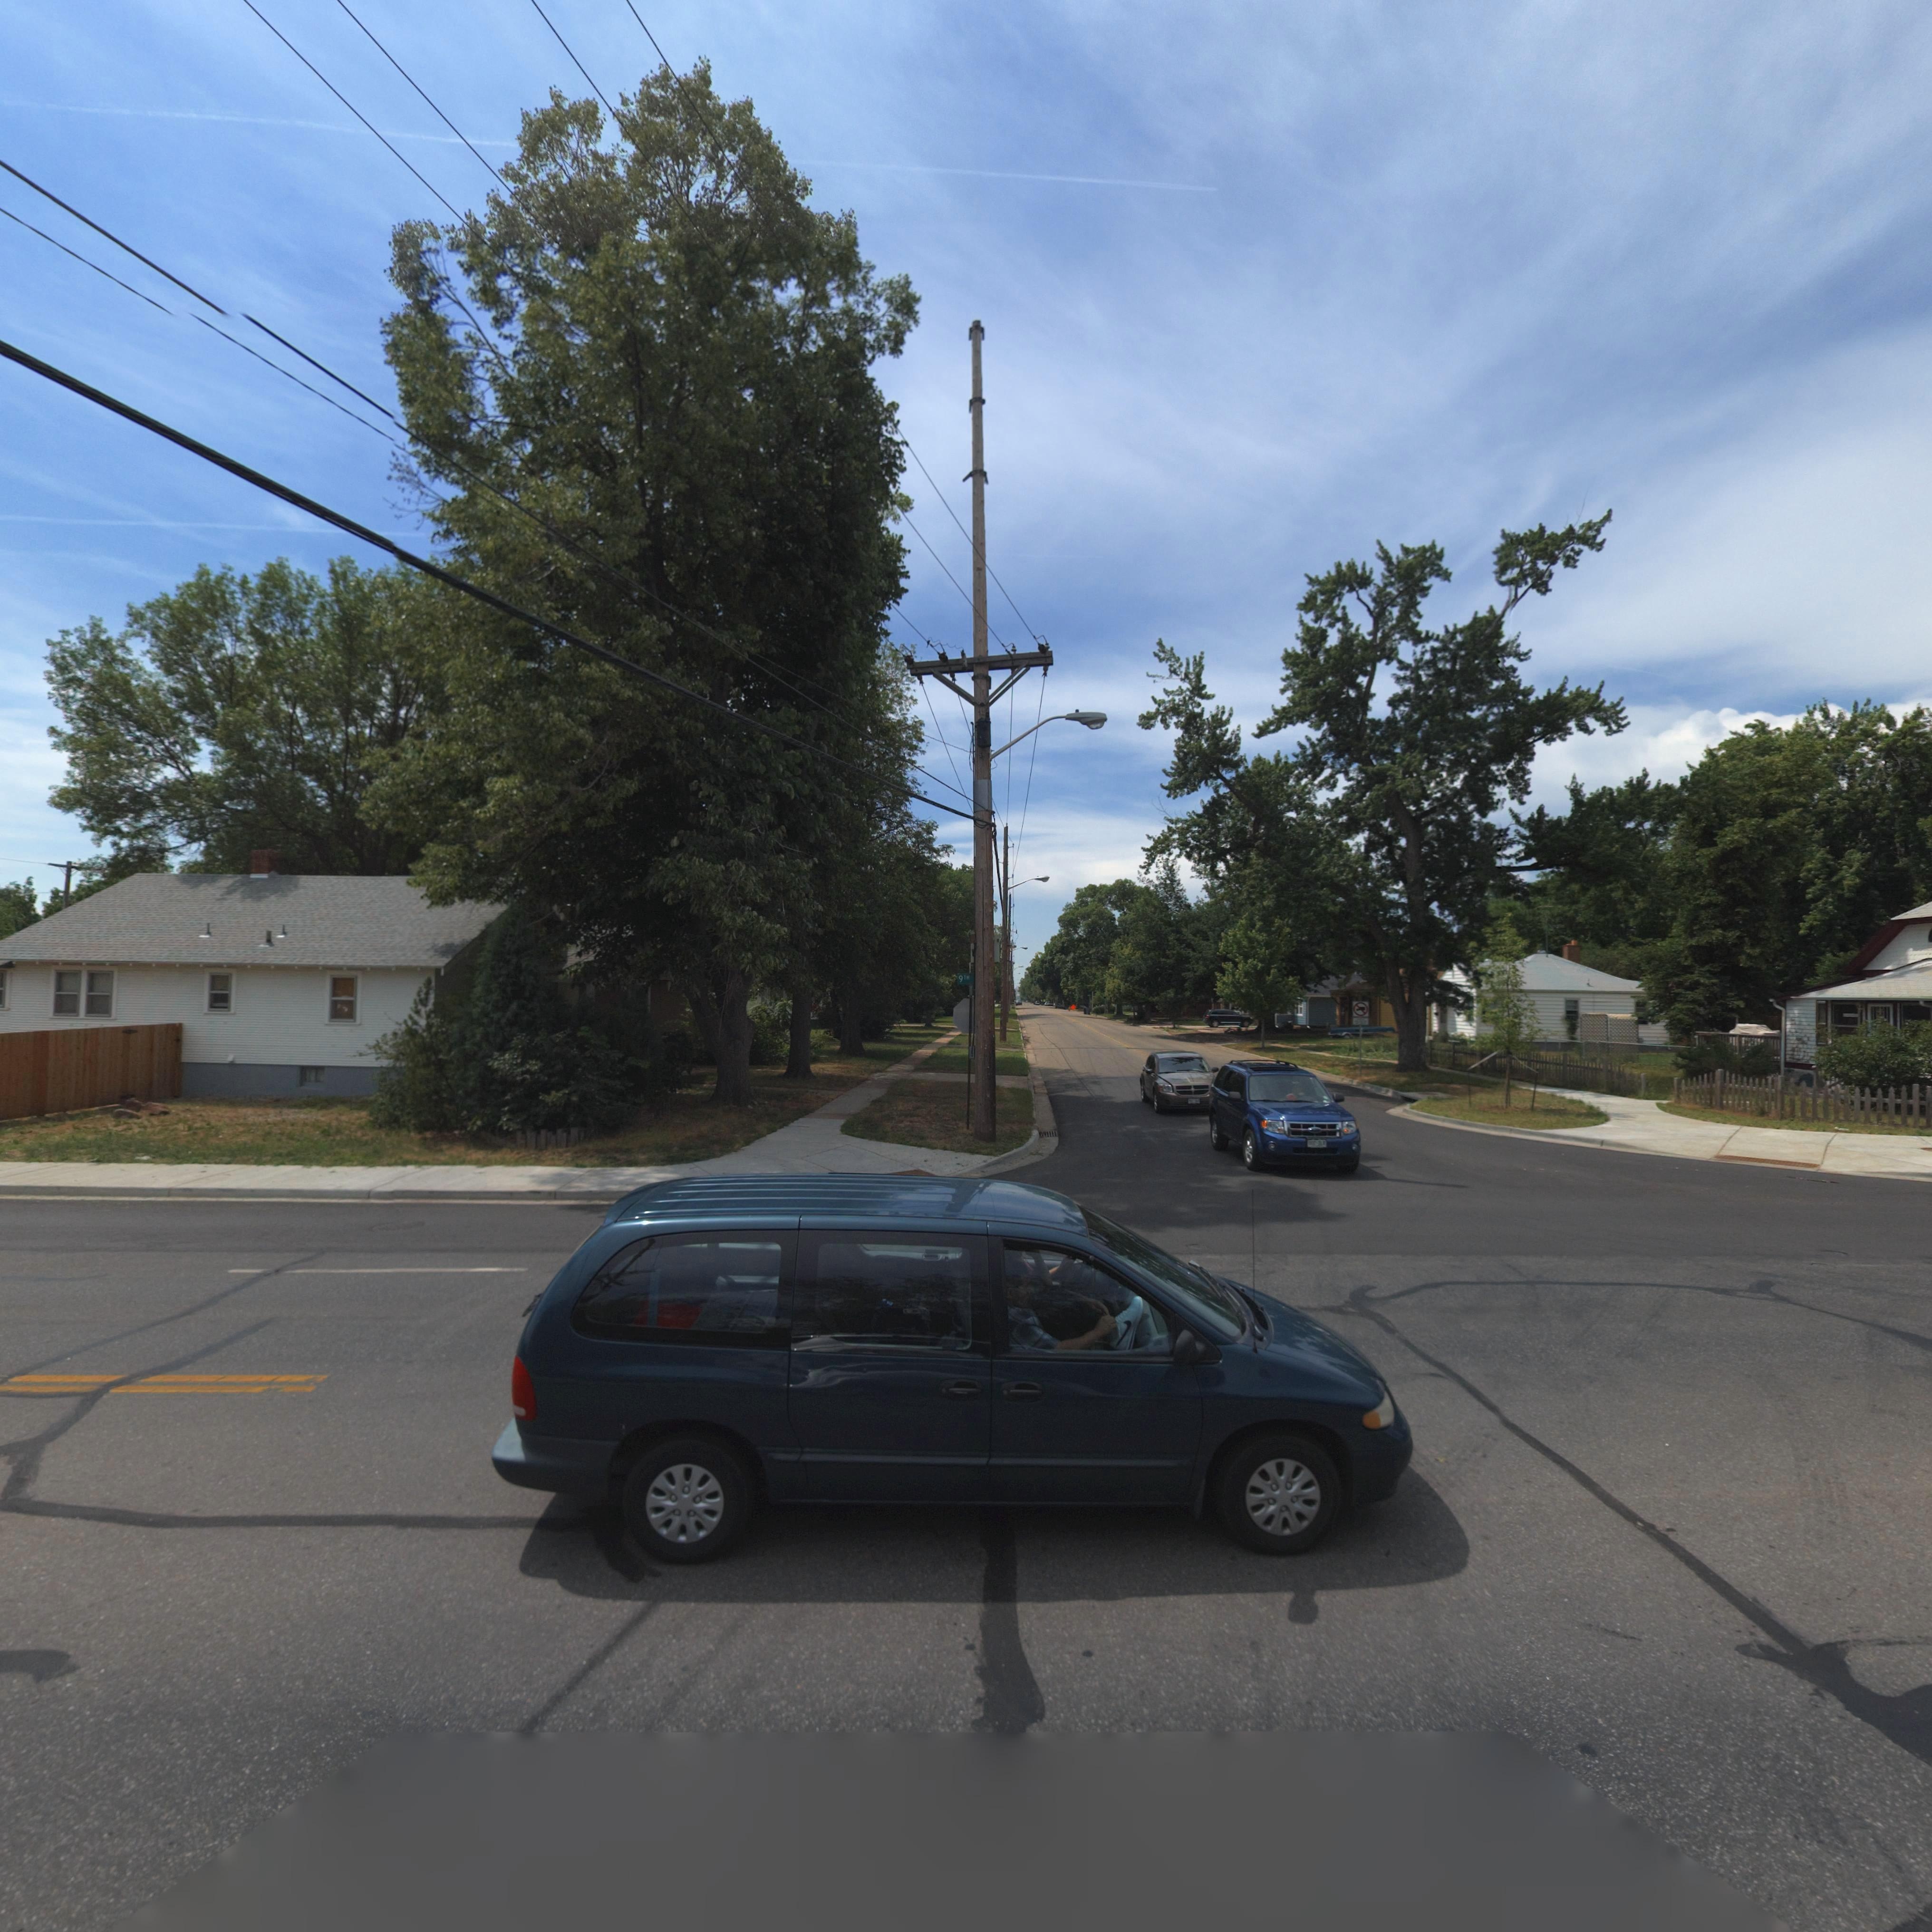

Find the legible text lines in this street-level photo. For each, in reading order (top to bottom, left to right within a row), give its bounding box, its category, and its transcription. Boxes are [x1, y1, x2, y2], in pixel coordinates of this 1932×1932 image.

[957, 975, 970, 983] StreetName: 9TH